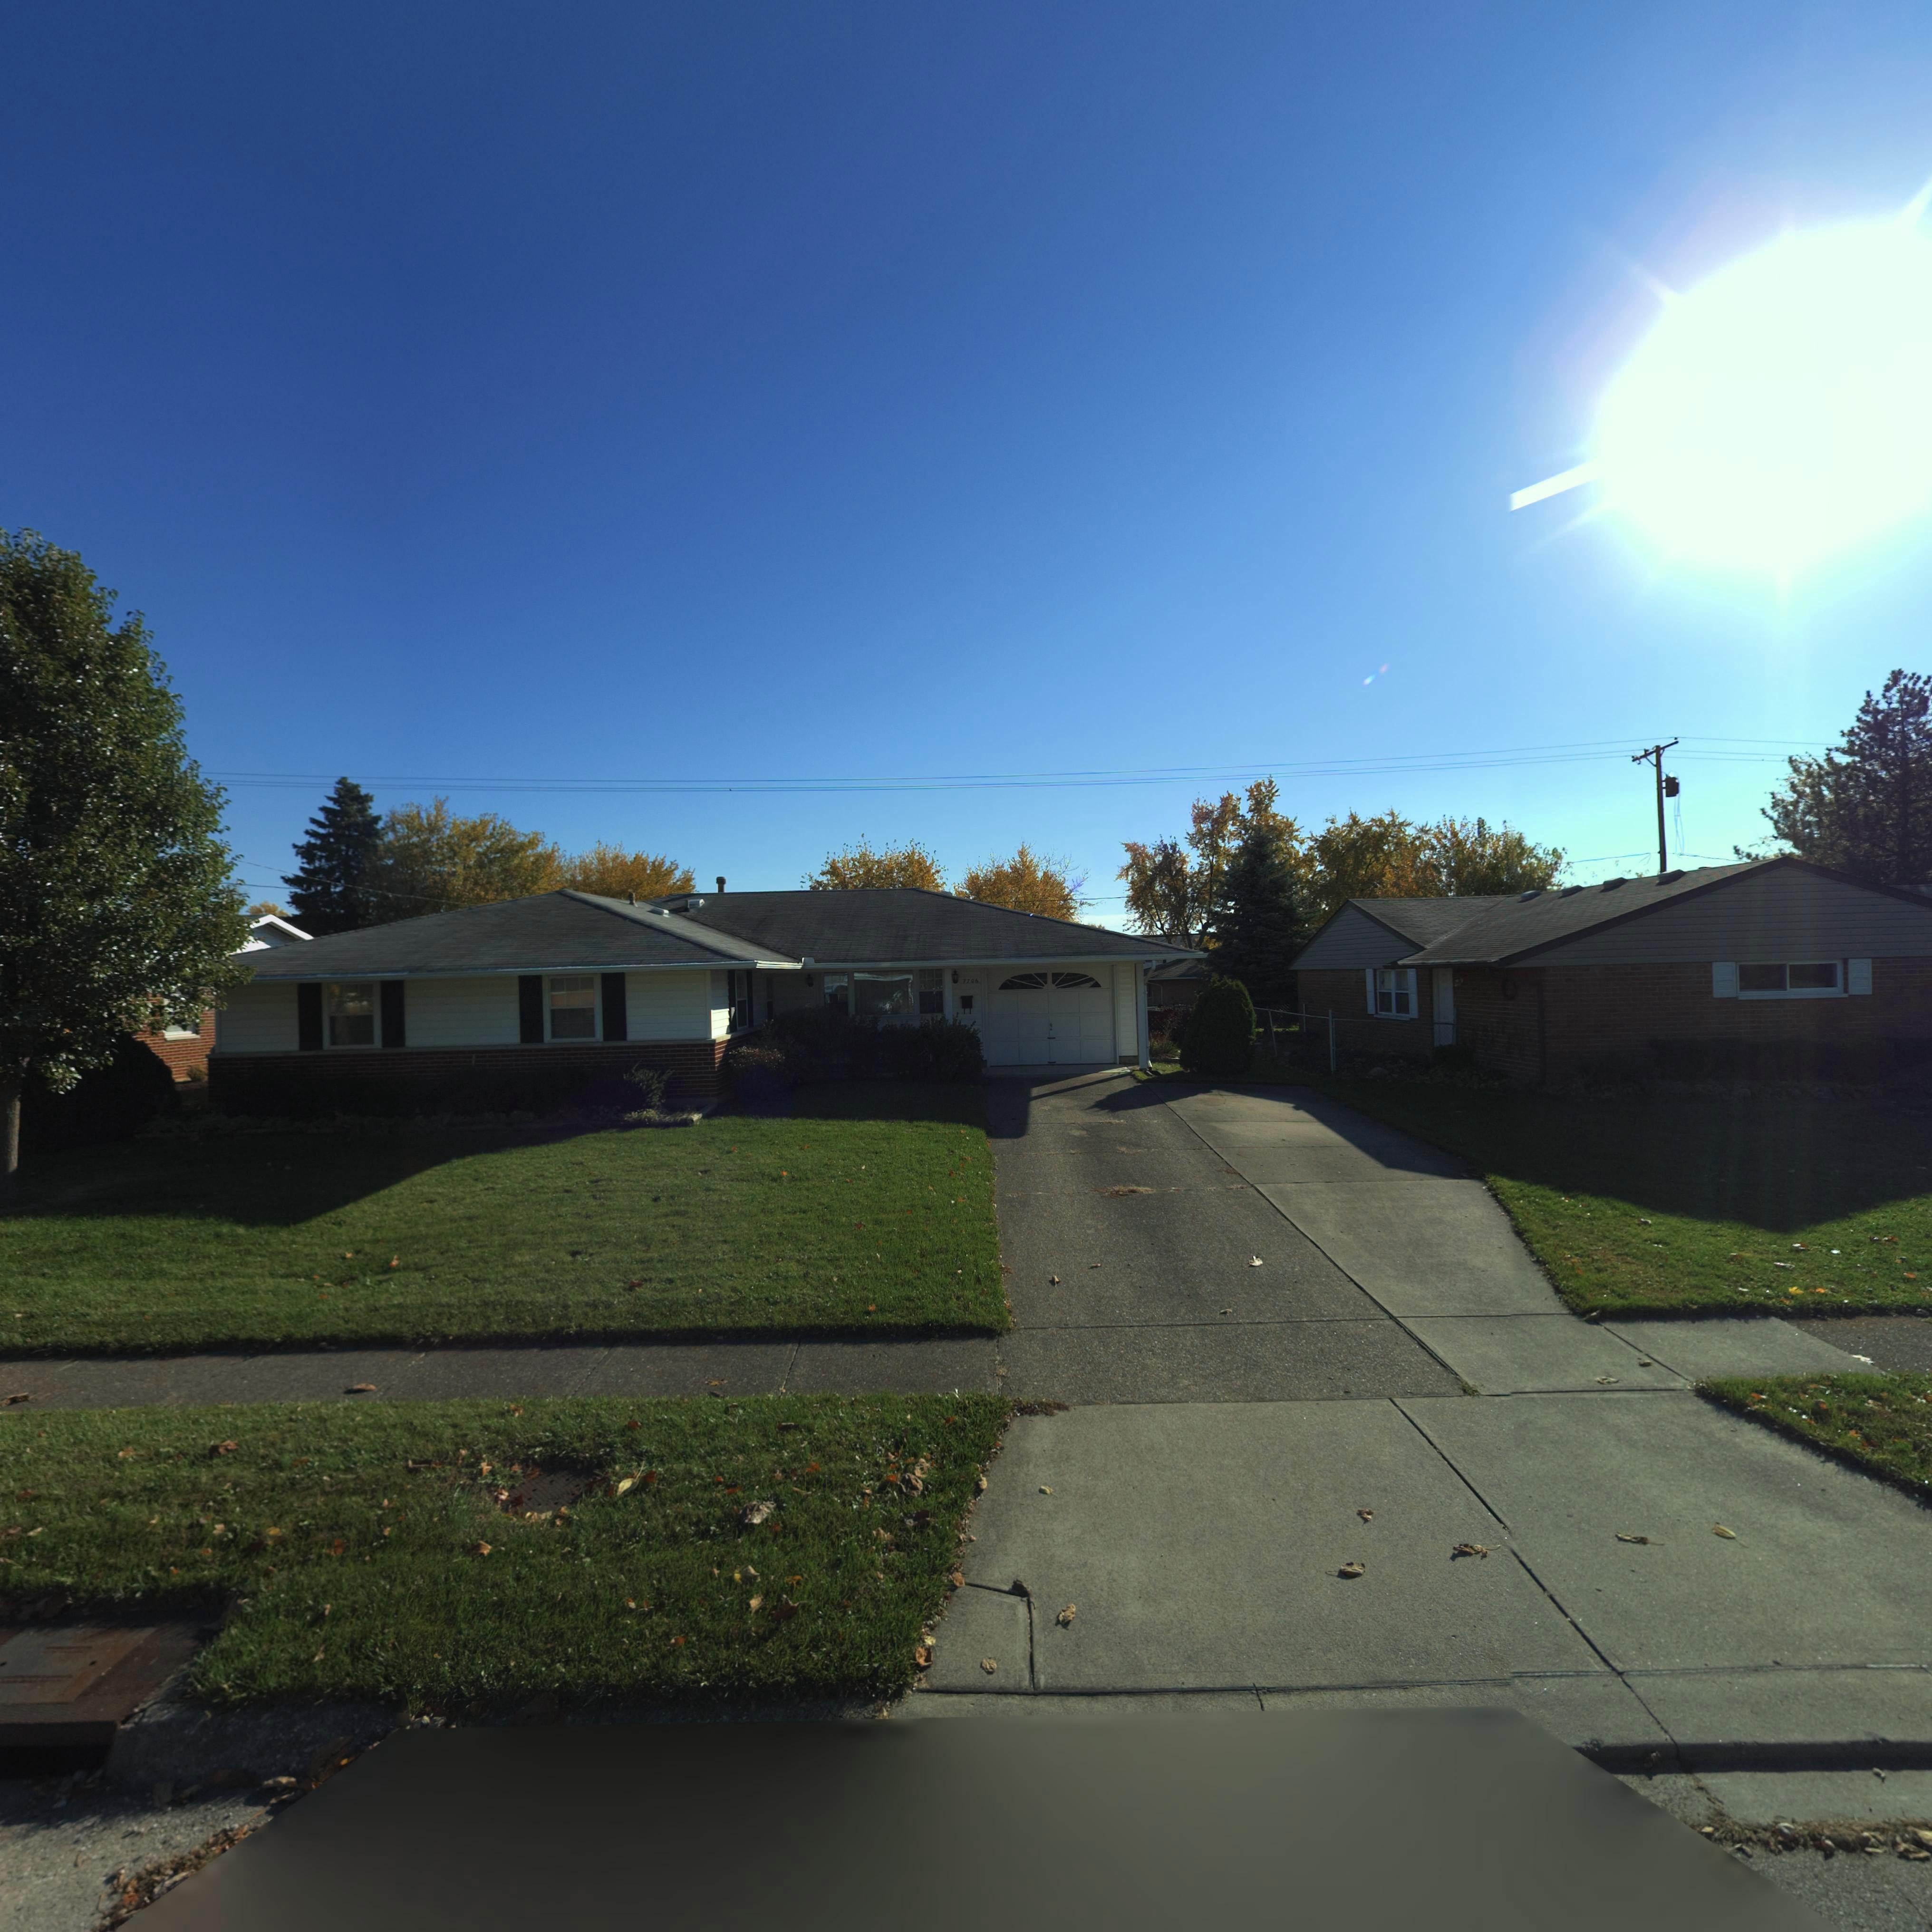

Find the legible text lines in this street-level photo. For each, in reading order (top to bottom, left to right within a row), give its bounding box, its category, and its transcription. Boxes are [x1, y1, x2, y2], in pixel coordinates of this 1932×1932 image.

[962, 977, 979, 985] StreetNumber: 7706